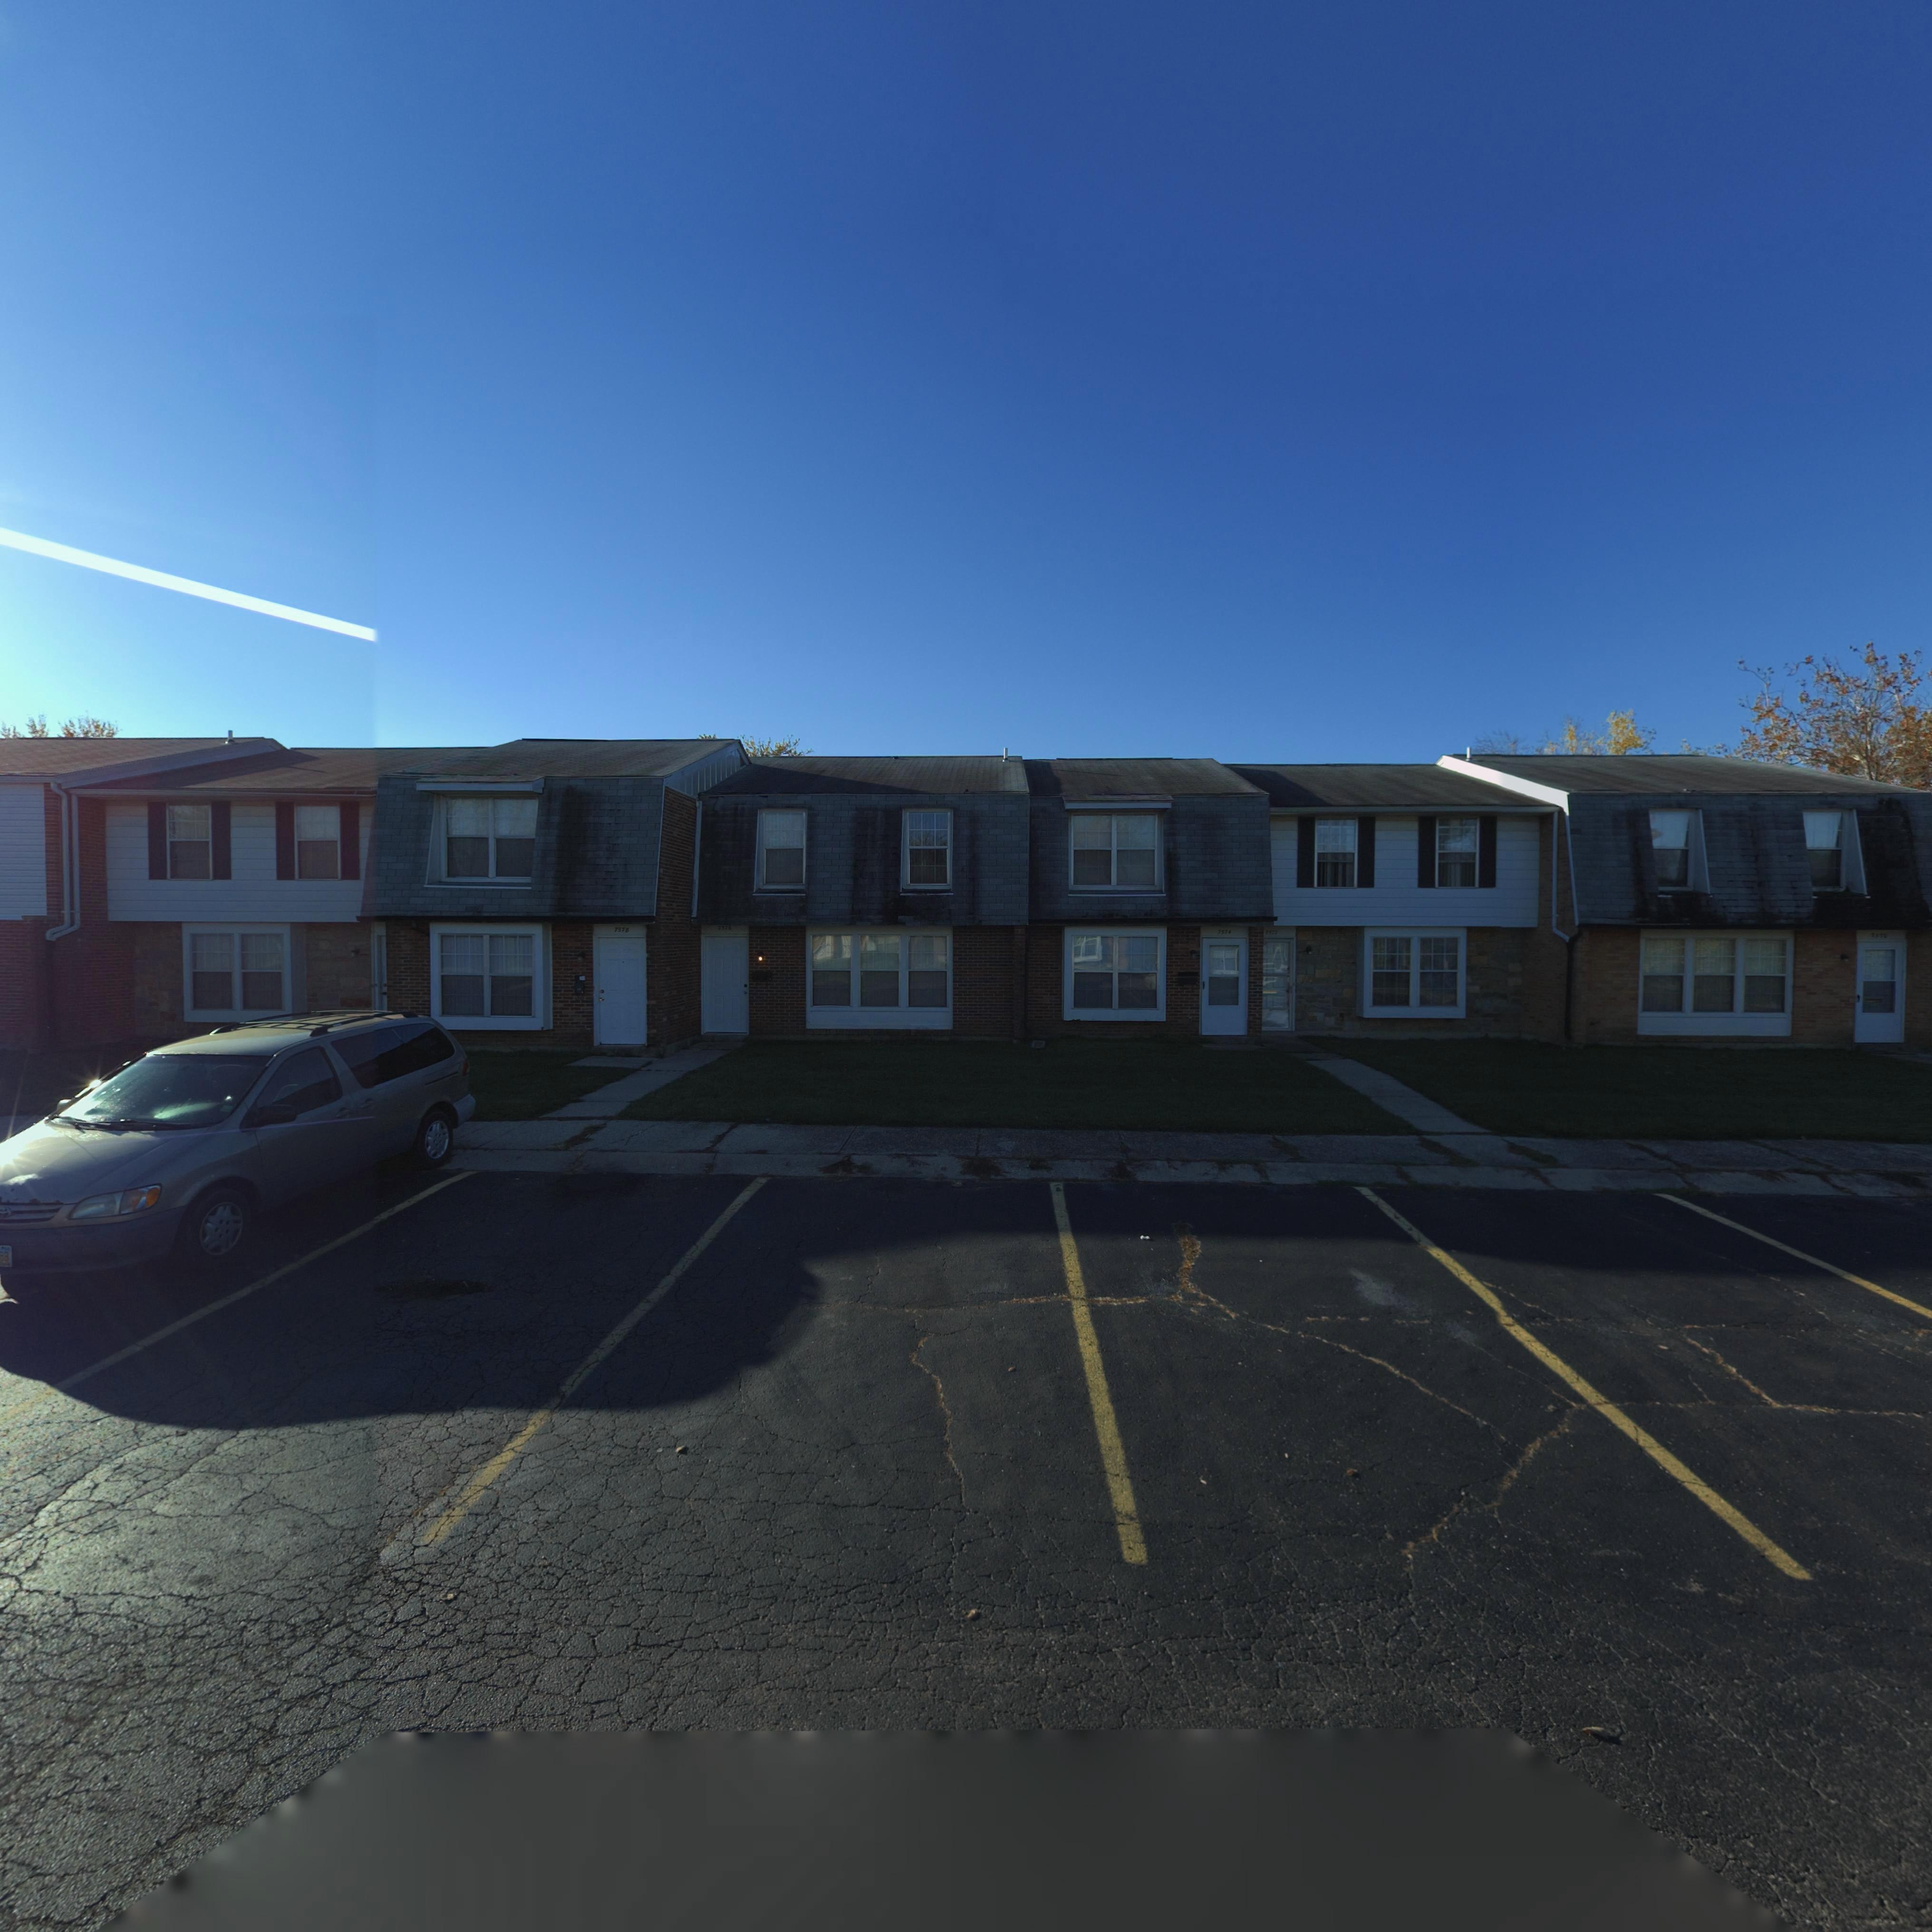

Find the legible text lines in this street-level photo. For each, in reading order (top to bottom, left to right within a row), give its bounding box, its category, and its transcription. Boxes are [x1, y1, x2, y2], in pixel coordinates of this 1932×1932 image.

[613, 926, 630, 934] StreetNumber: 757*
[717, 925, 733, 931] StreetNumber: **7*
[1217, 928, 1232, 936] StreetNumber: 757*
[1264, 929, 1279, 936] StreetNumber: **7*